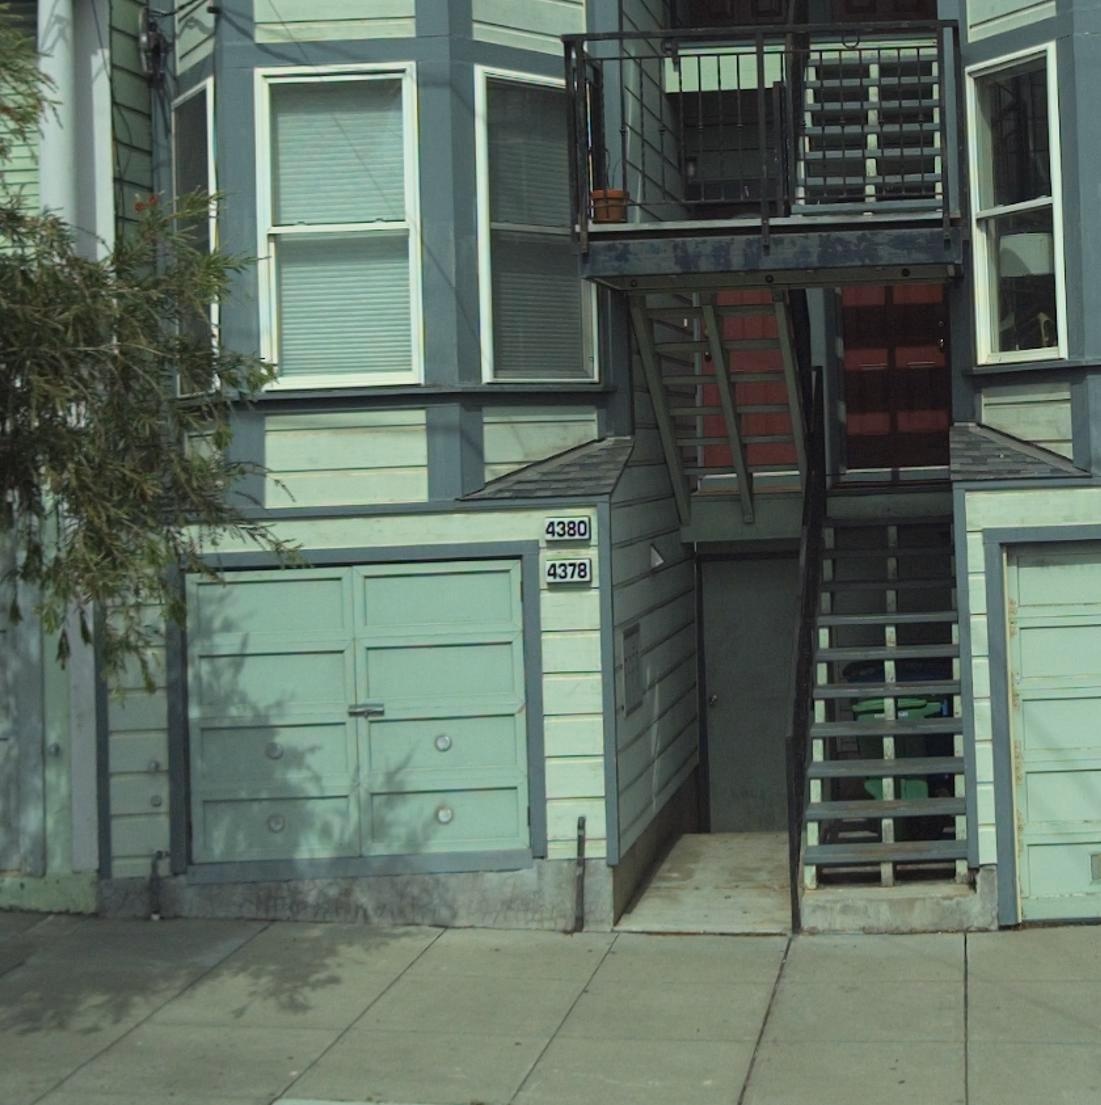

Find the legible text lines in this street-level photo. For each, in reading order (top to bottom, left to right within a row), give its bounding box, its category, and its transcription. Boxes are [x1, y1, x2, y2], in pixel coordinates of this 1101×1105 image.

[542, 517, 590, 540] StreetNumber: 4380
[545, 559, 590, 581] StreetNumber: 4378